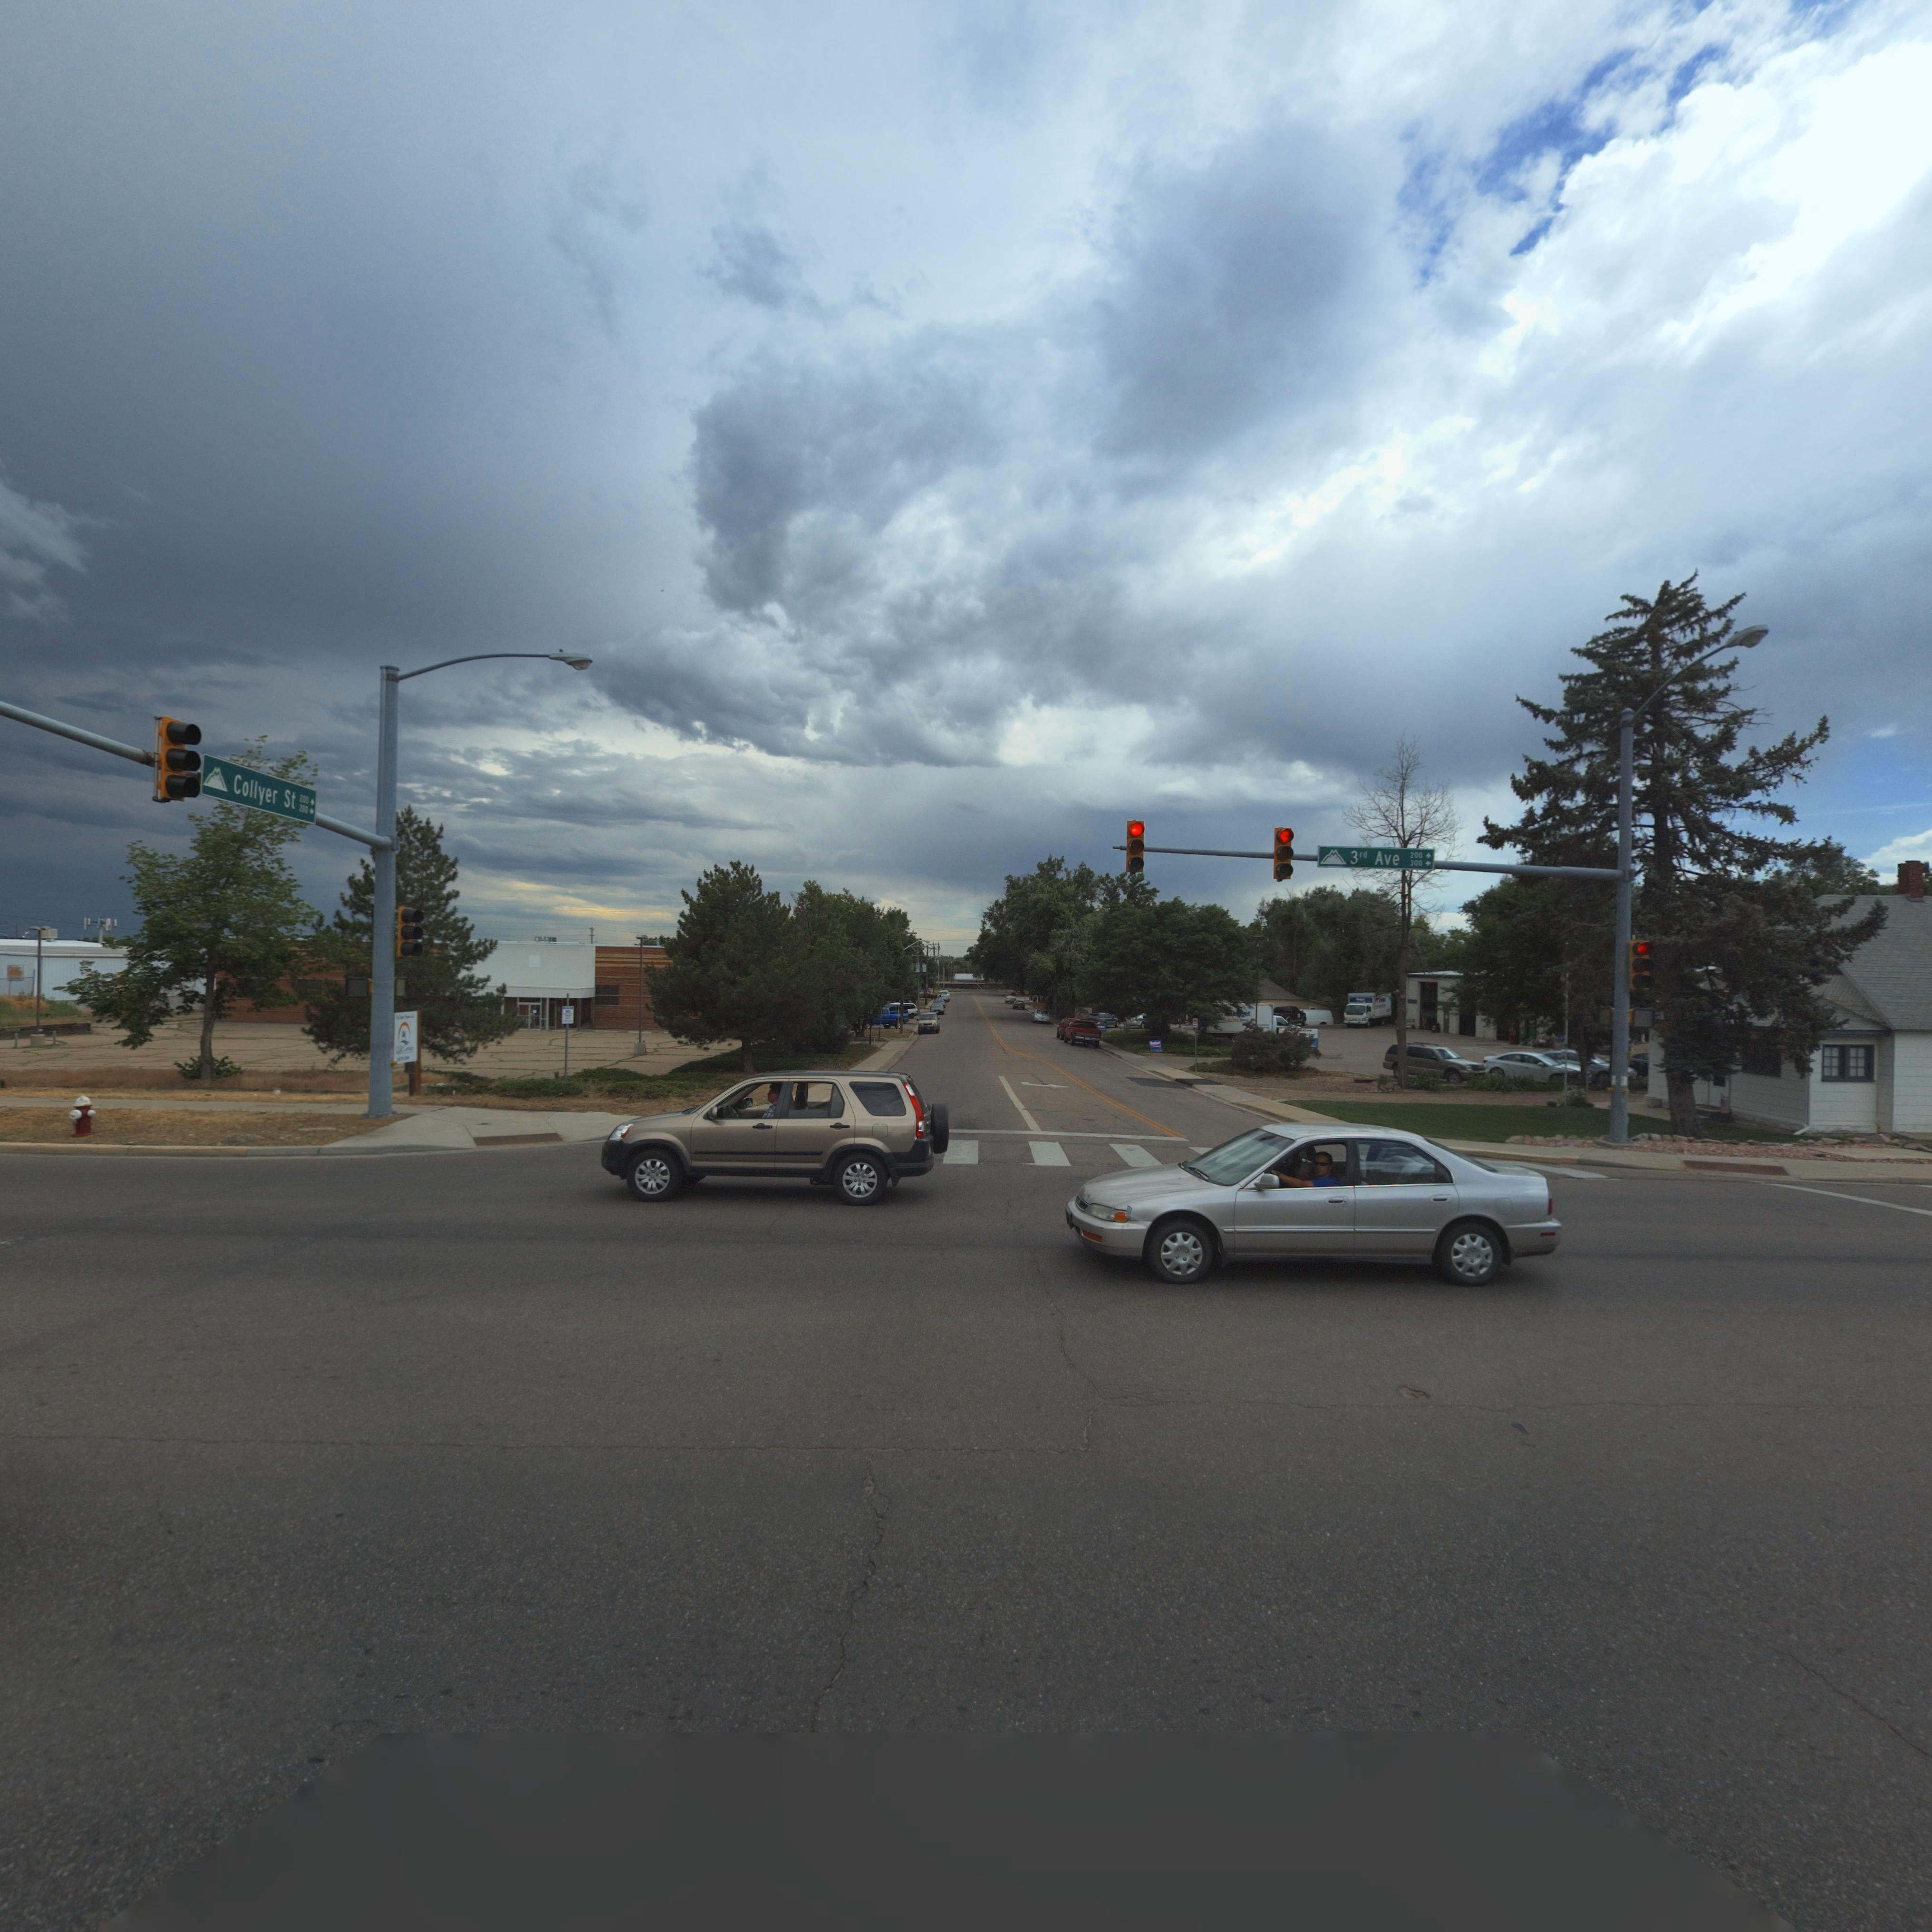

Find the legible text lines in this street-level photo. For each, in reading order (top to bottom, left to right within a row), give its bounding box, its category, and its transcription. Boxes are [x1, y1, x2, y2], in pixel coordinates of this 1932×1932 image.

[233, 773, 296, 809] StreetName: Collyer St
[299, 793, 309, 804] StreetNumberRange: 200
[298, 804, 315, 814] StreetNumberRange: 200->
[1350, 850, 1400, 865] StreetName: 3rd Ave
[1410, 851, 1422, 858] StreetNumberRange: 200
[1409, 860, 1431, 866] StreetNumberRange: 300->
[395, 1044, 413, 1052] BusinessName: OUR C*****